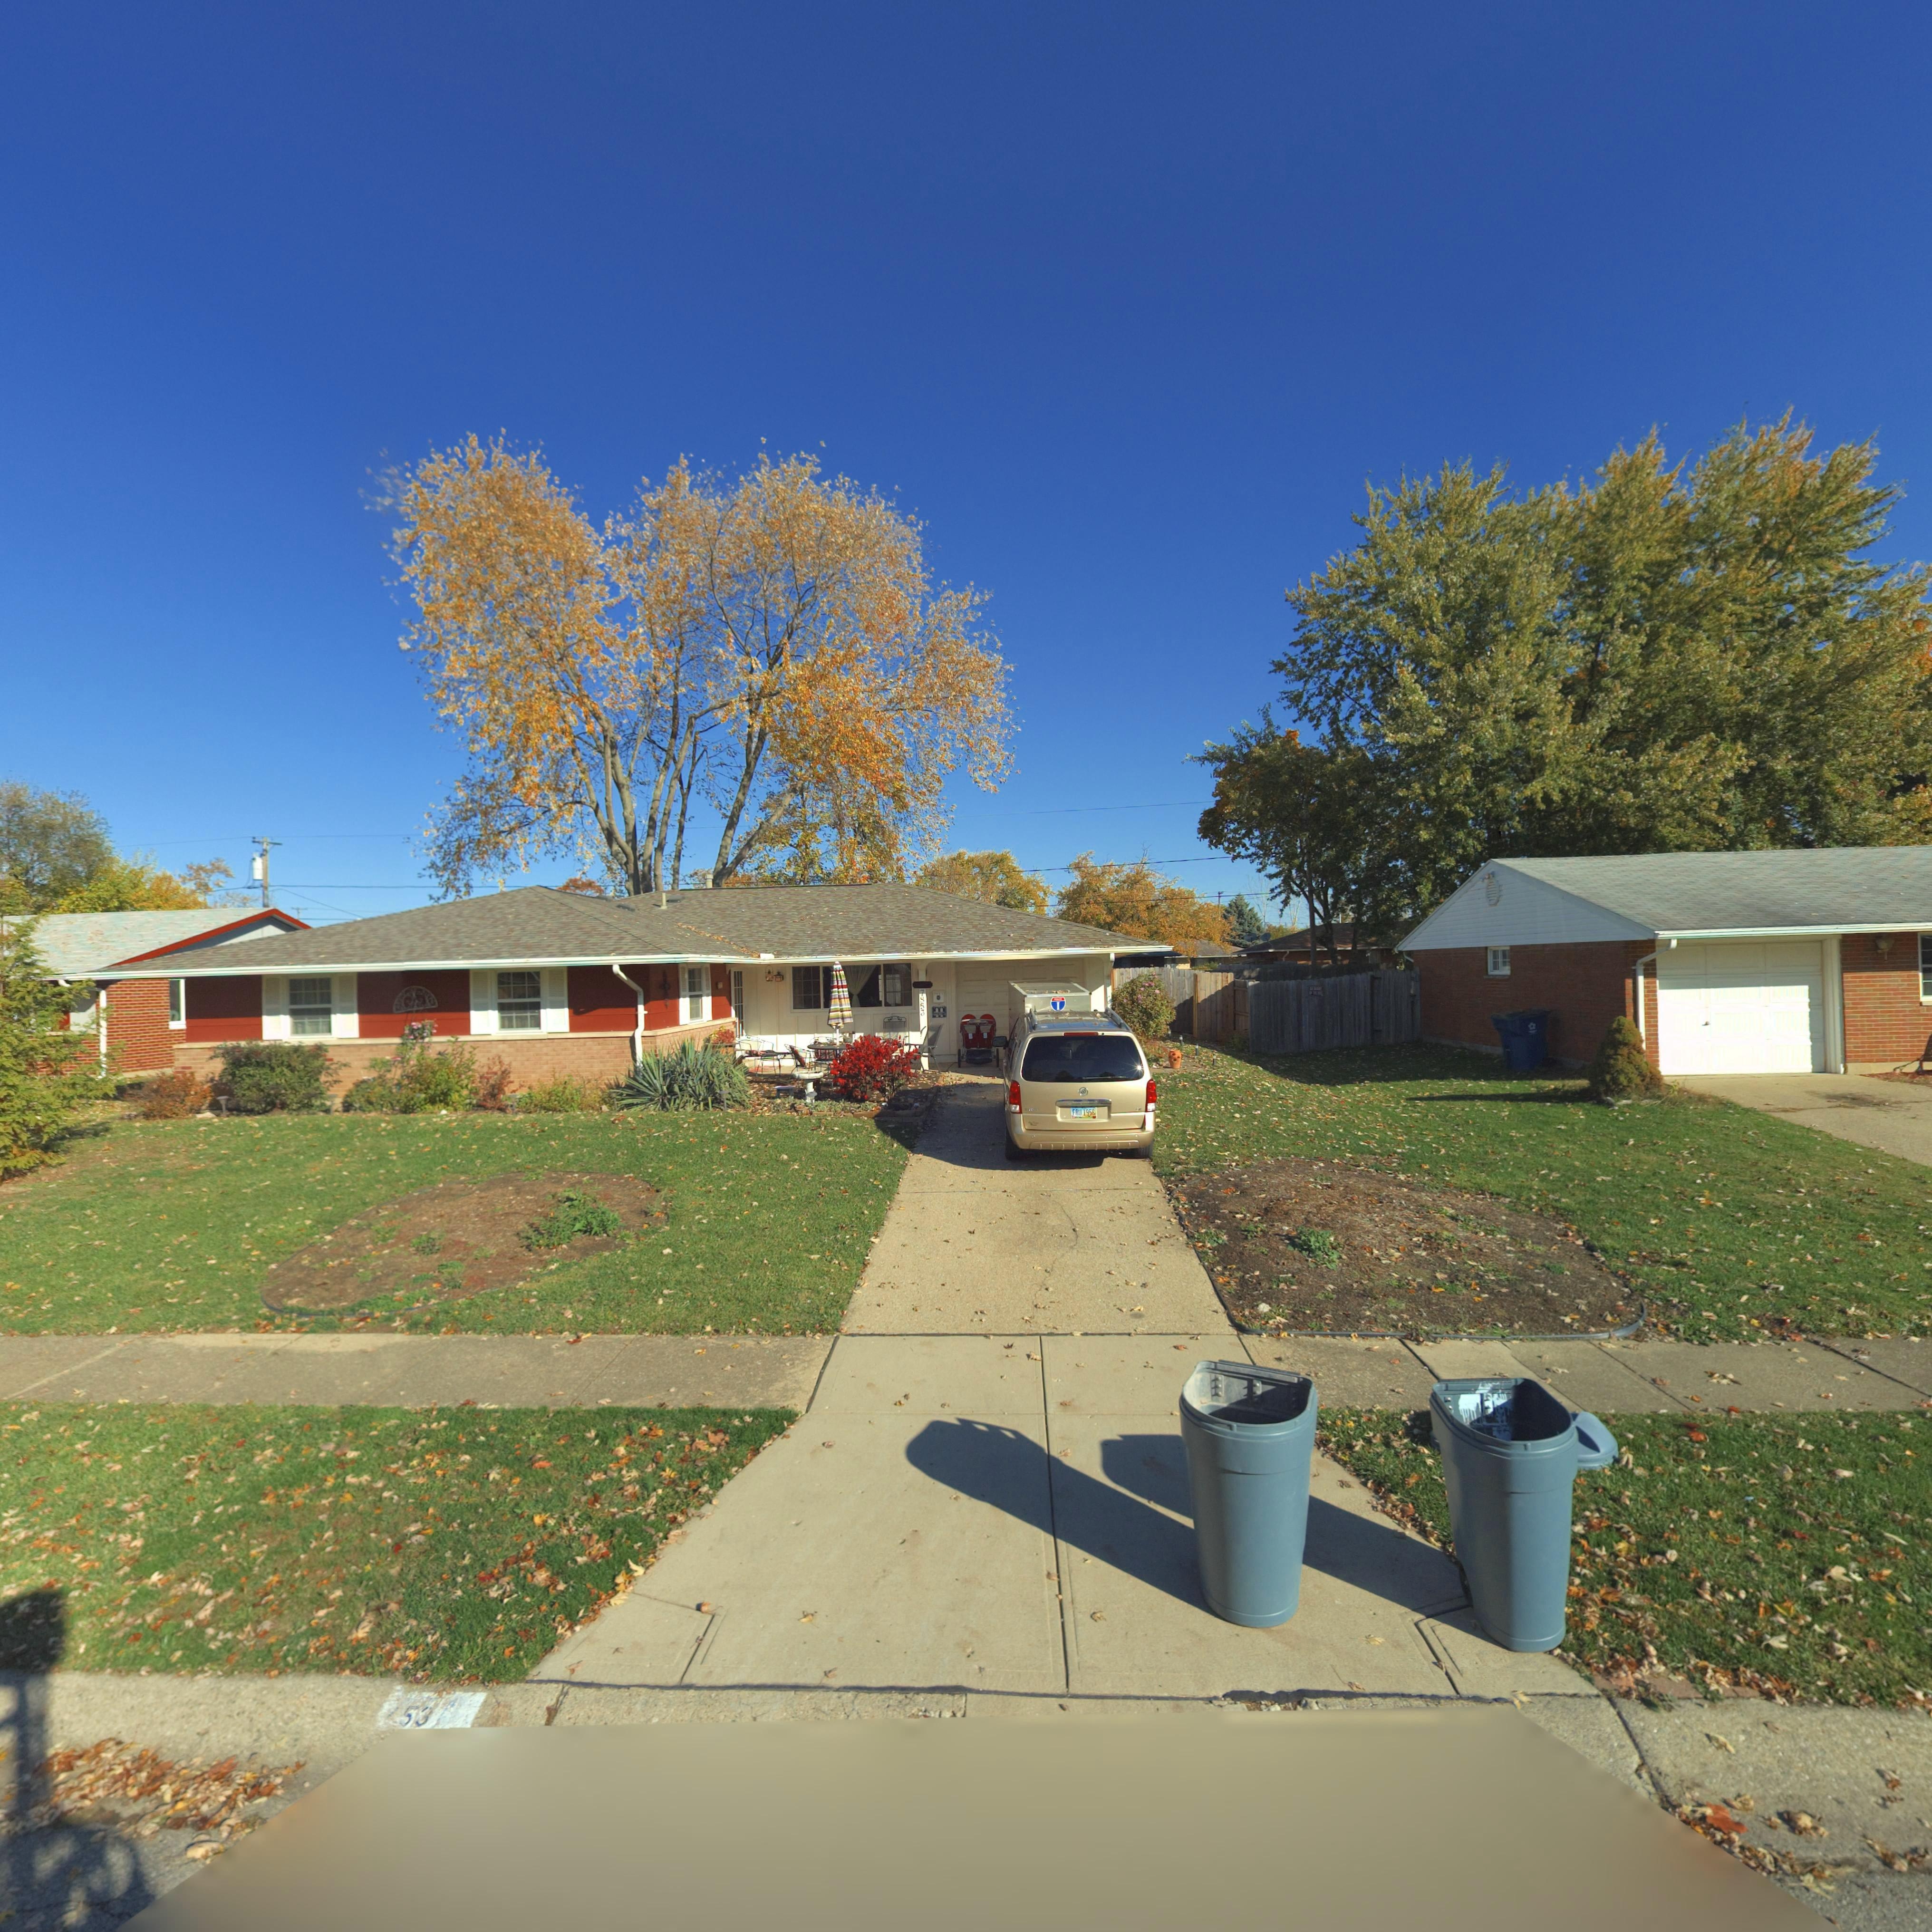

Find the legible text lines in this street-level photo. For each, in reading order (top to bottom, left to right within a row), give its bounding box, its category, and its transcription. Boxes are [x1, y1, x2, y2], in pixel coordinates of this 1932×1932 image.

[919, 989, 926, 1016] StreetNumber: 7853
[397, 1704, 435, 1729] StreetNumber: 53